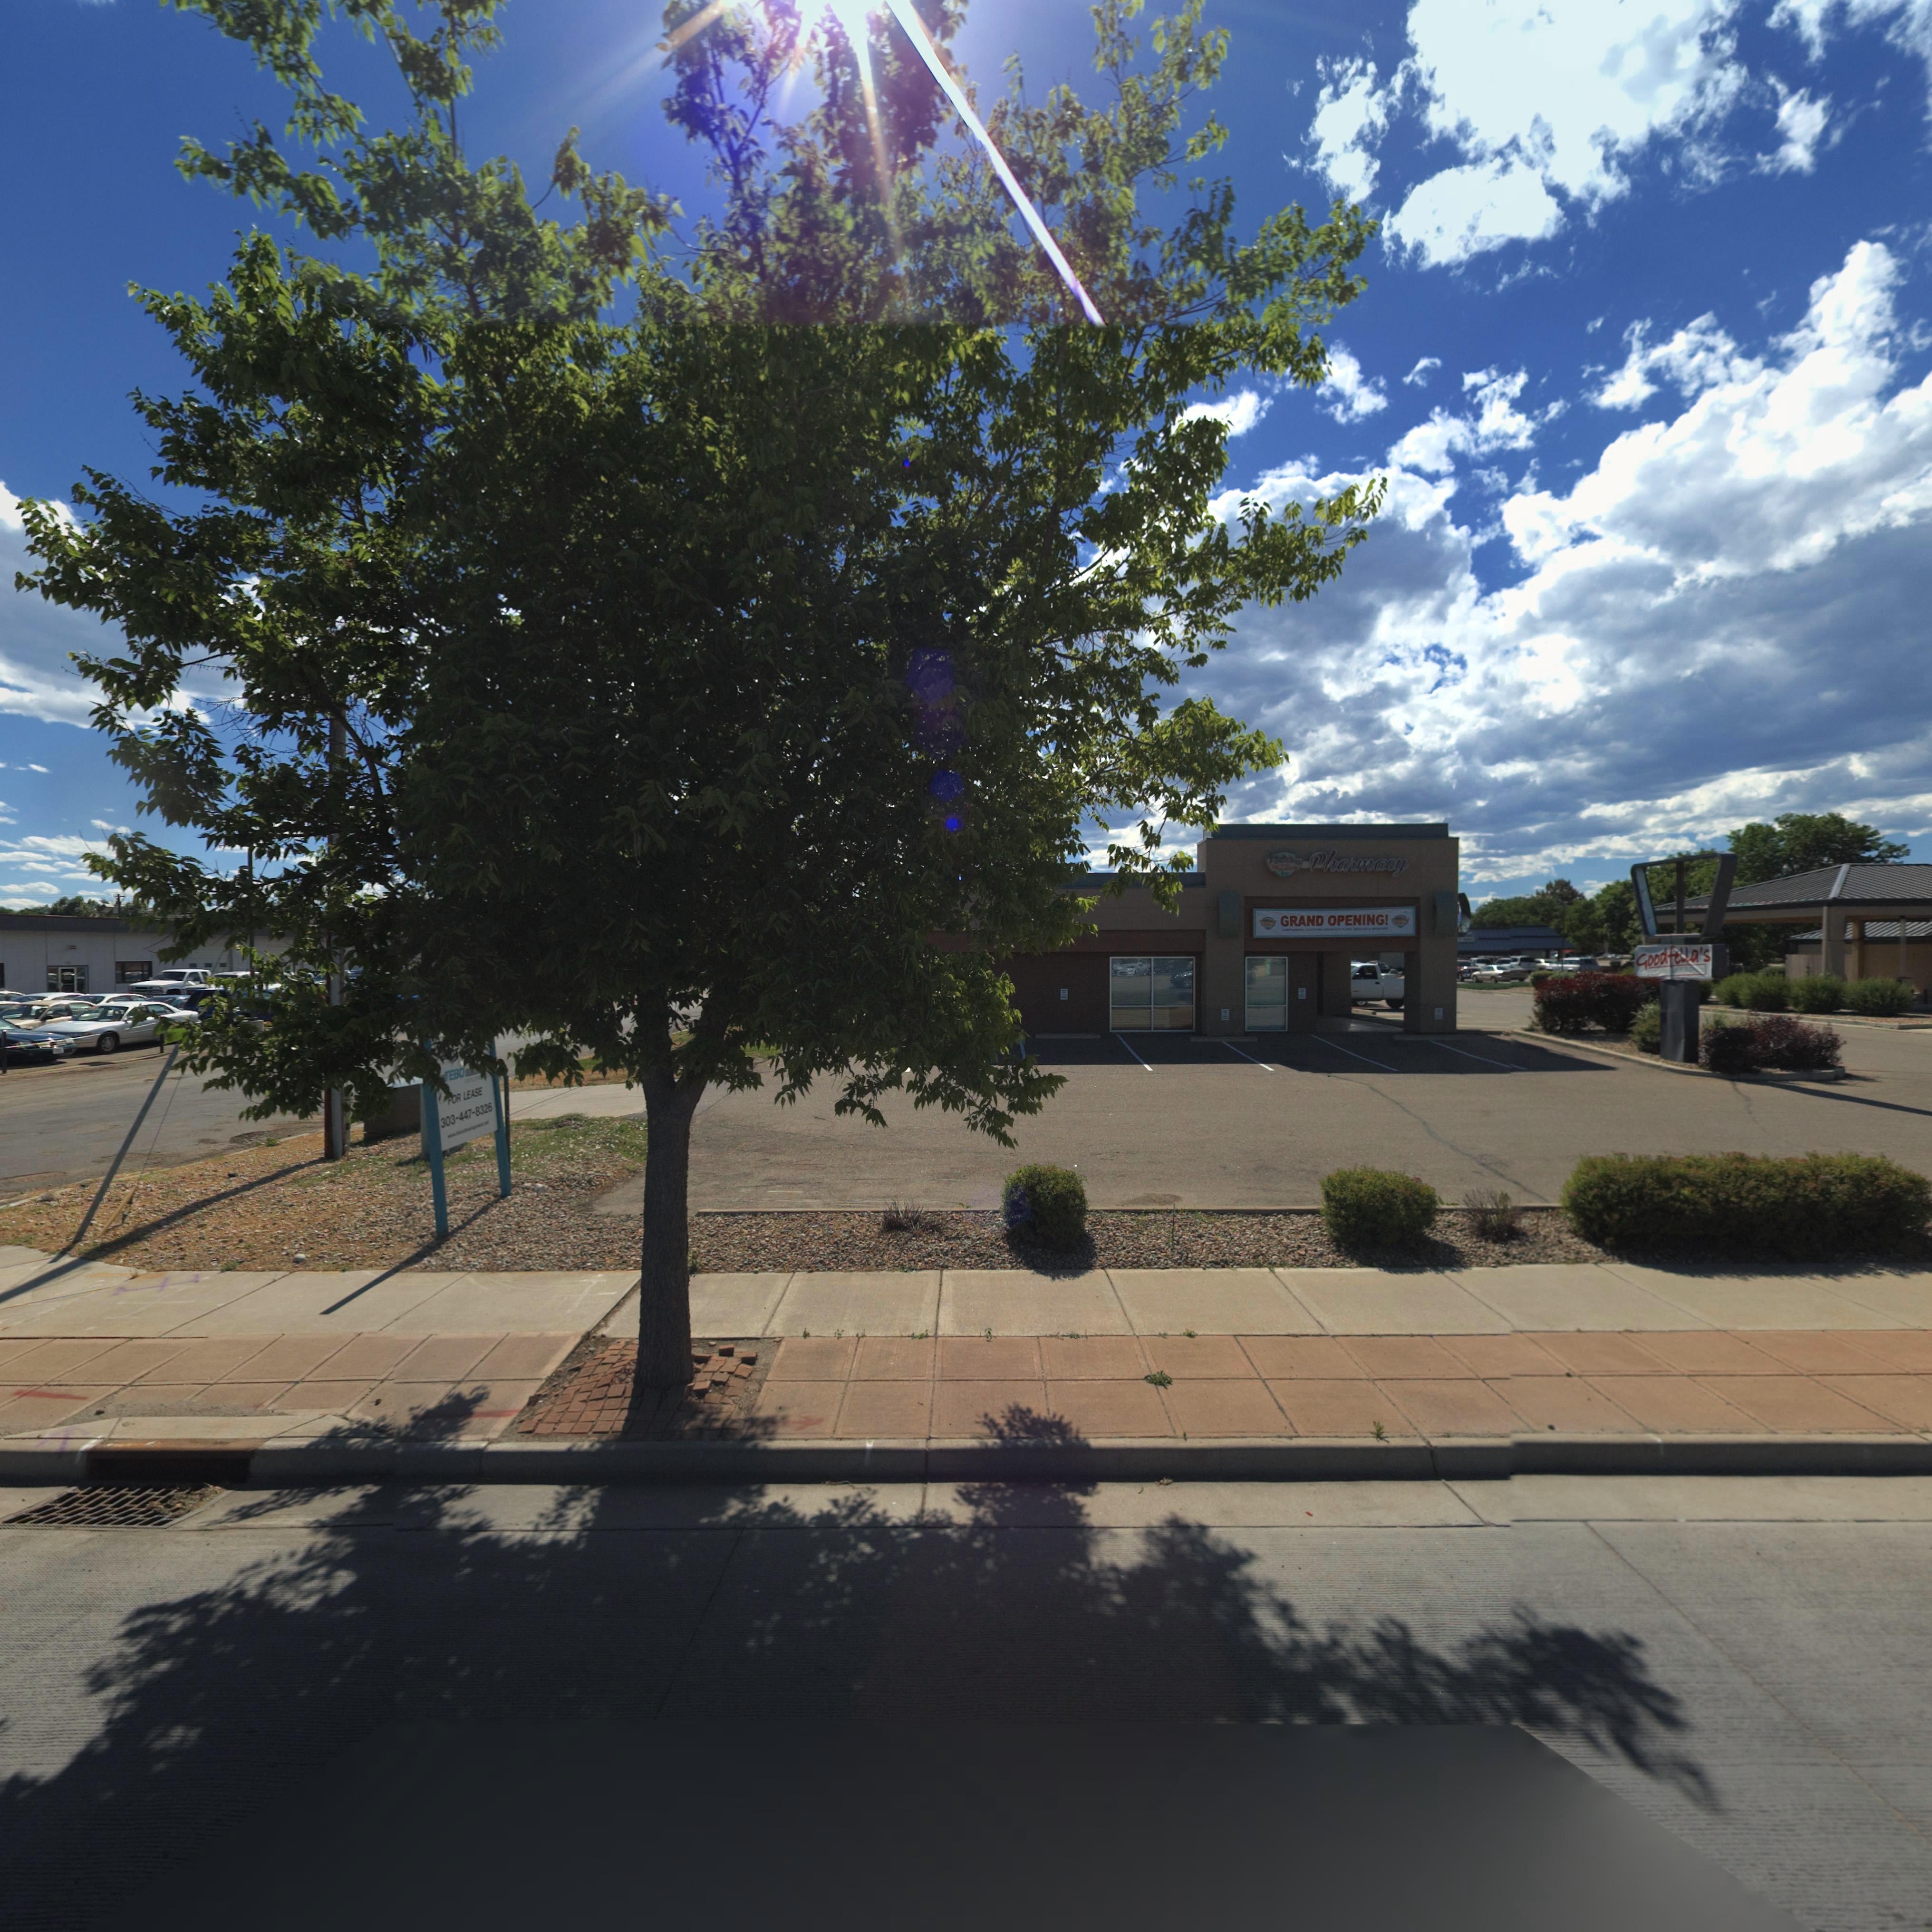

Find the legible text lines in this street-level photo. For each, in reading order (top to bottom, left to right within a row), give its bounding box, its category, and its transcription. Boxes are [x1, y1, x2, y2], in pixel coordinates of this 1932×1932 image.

[1271, 863, 1299, 872] BusinessName: P******y
[1268, 856, 1302, 865] BusinessName: F******ns
[1308, 848, 1409, 879] BusinessName: Pharmacy
[1635, 945, 1712, 970] BusinessName: Good fella's